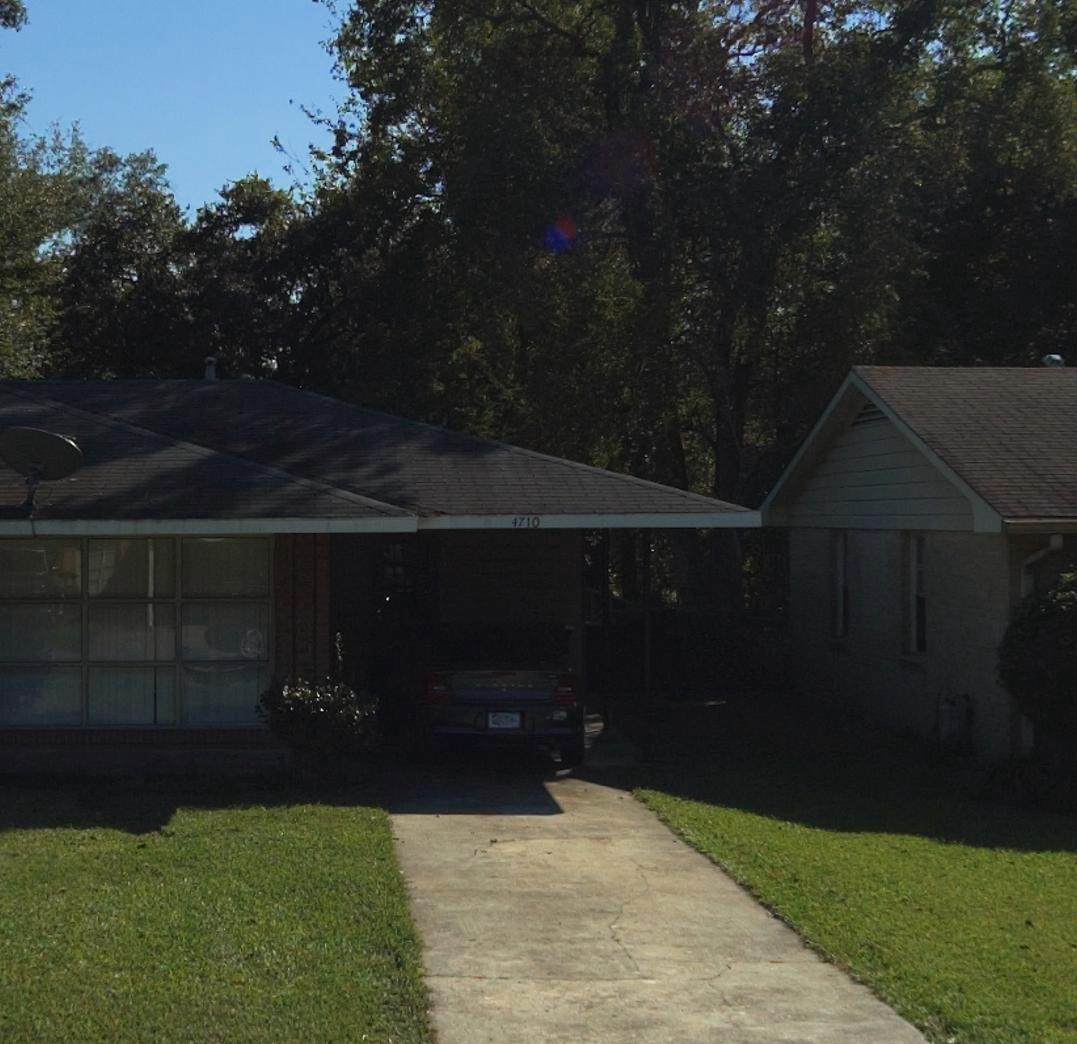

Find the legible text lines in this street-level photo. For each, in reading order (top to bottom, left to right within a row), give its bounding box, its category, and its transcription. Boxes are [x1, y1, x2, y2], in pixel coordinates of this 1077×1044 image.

[511, 515, 540, 528] StreetNumber: 4710